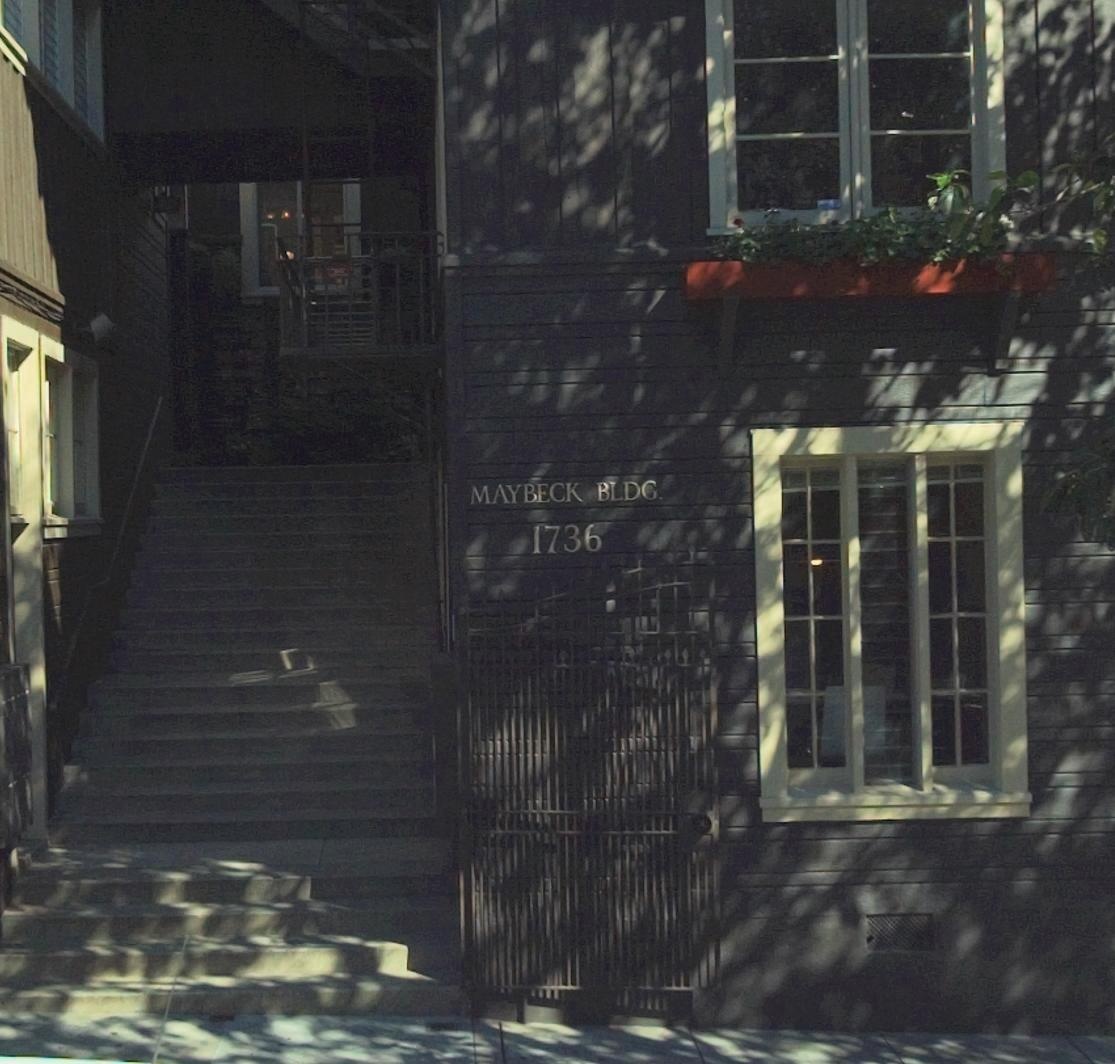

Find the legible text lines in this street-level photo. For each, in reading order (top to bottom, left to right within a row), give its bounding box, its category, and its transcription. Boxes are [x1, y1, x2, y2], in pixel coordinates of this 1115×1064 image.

[467, 478, 661, 507] BusinessName: MAYBECK BLDG
[530, 522, 604, 556] StreetNumber: 1736